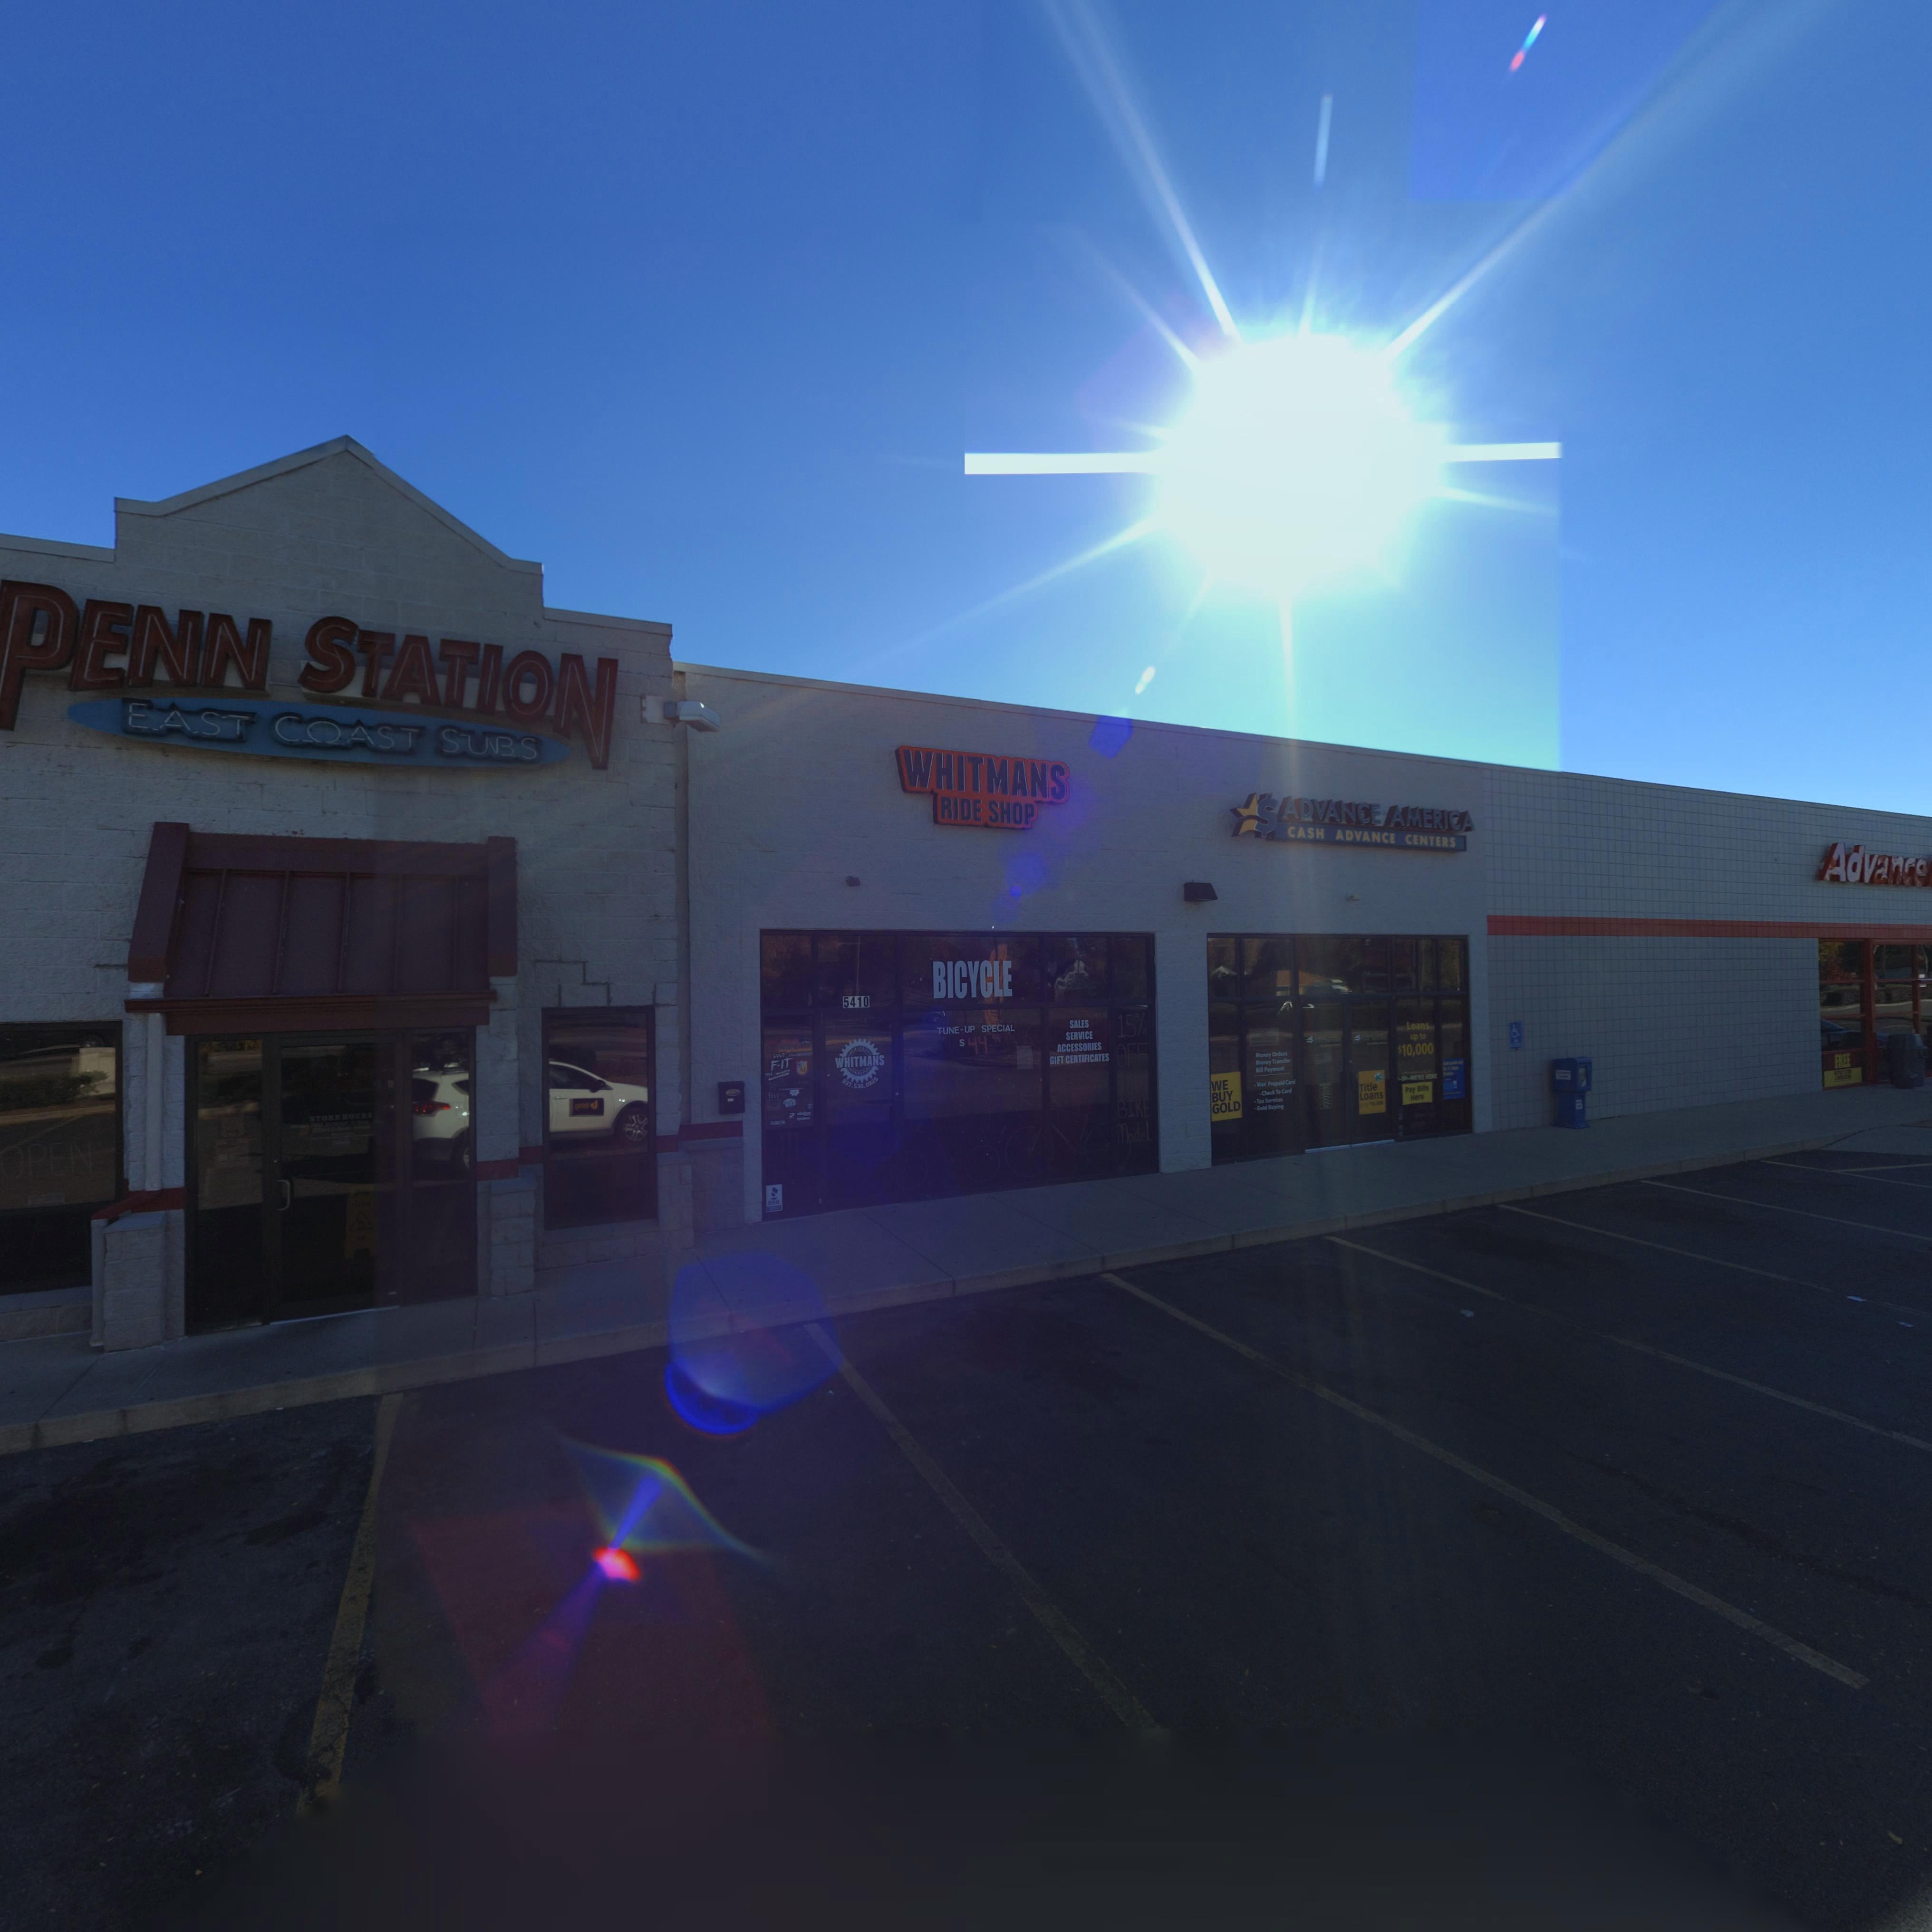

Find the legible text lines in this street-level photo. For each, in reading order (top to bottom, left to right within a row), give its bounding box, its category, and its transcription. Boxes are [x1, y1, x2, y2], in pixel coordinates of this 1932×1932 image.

[842, 995, 869, 1008] StreetNumber: 5410